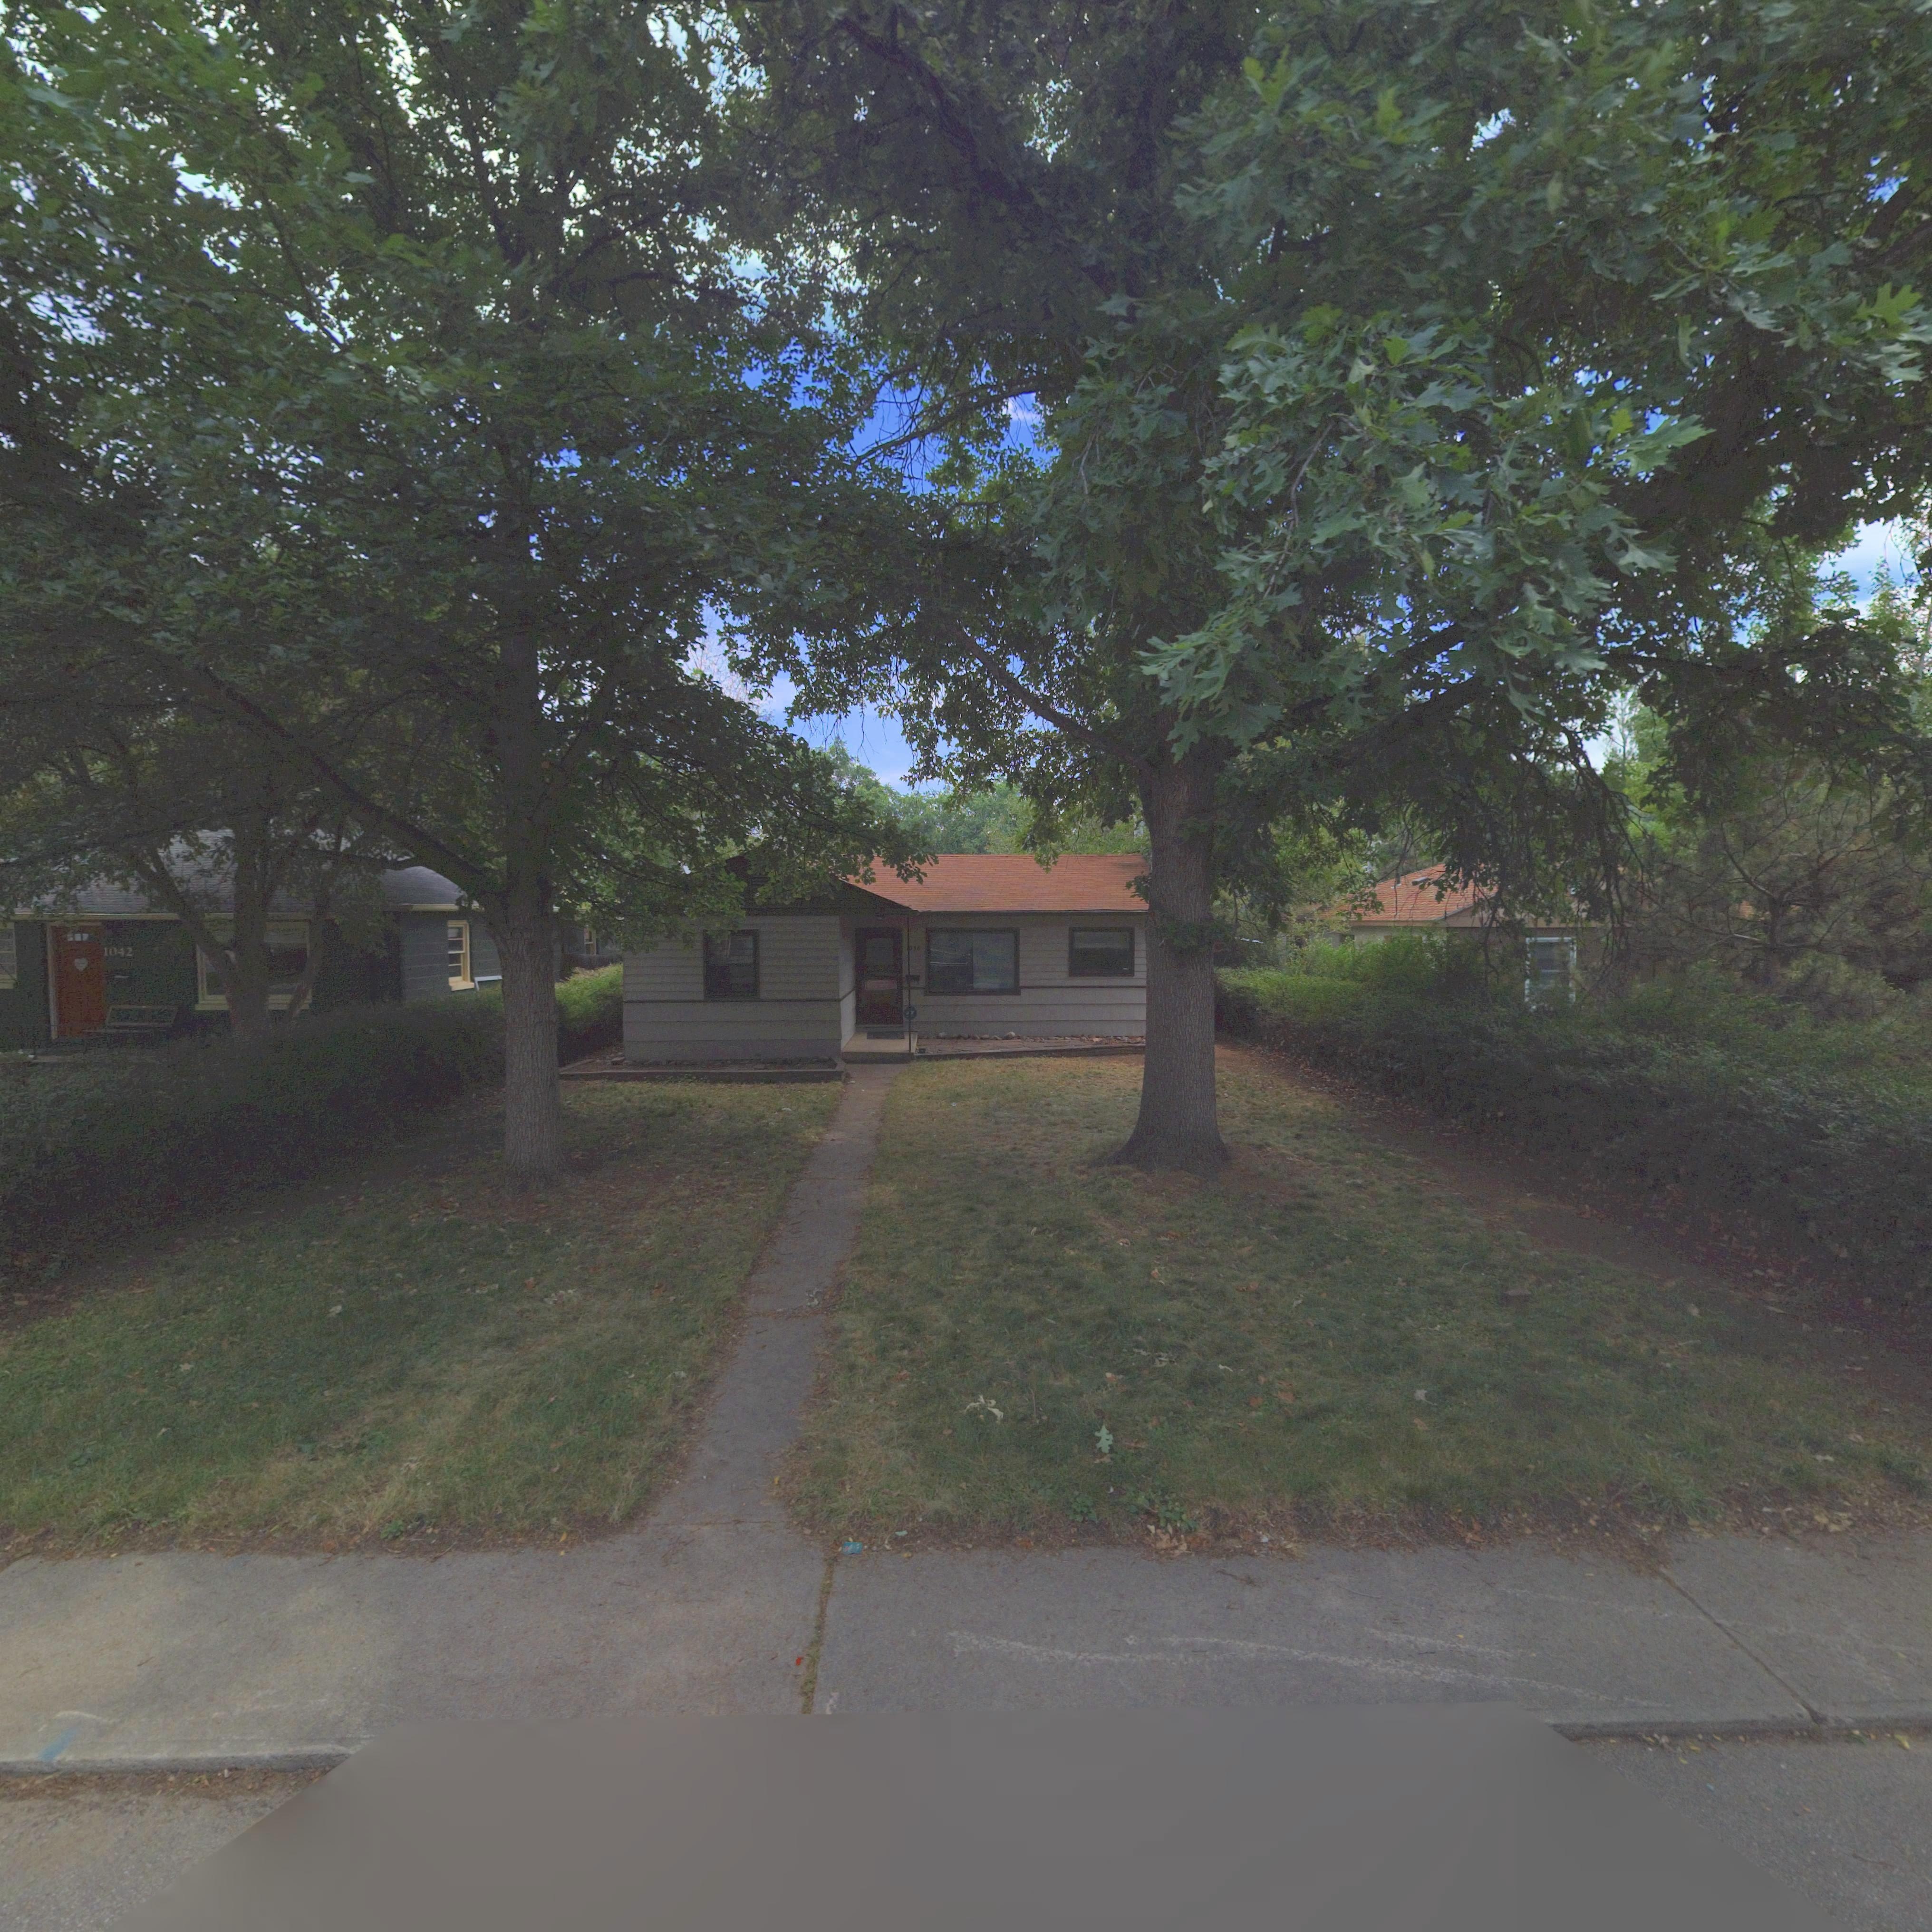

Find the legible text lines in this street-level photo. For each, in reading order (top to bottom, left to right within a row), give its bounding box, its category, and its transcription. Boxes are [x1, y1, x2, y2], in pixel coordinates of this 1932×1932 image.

[103, 946, 133, 957] StreetNumber: 1042
[905, 944, 921, 952] StreetNumber: *056